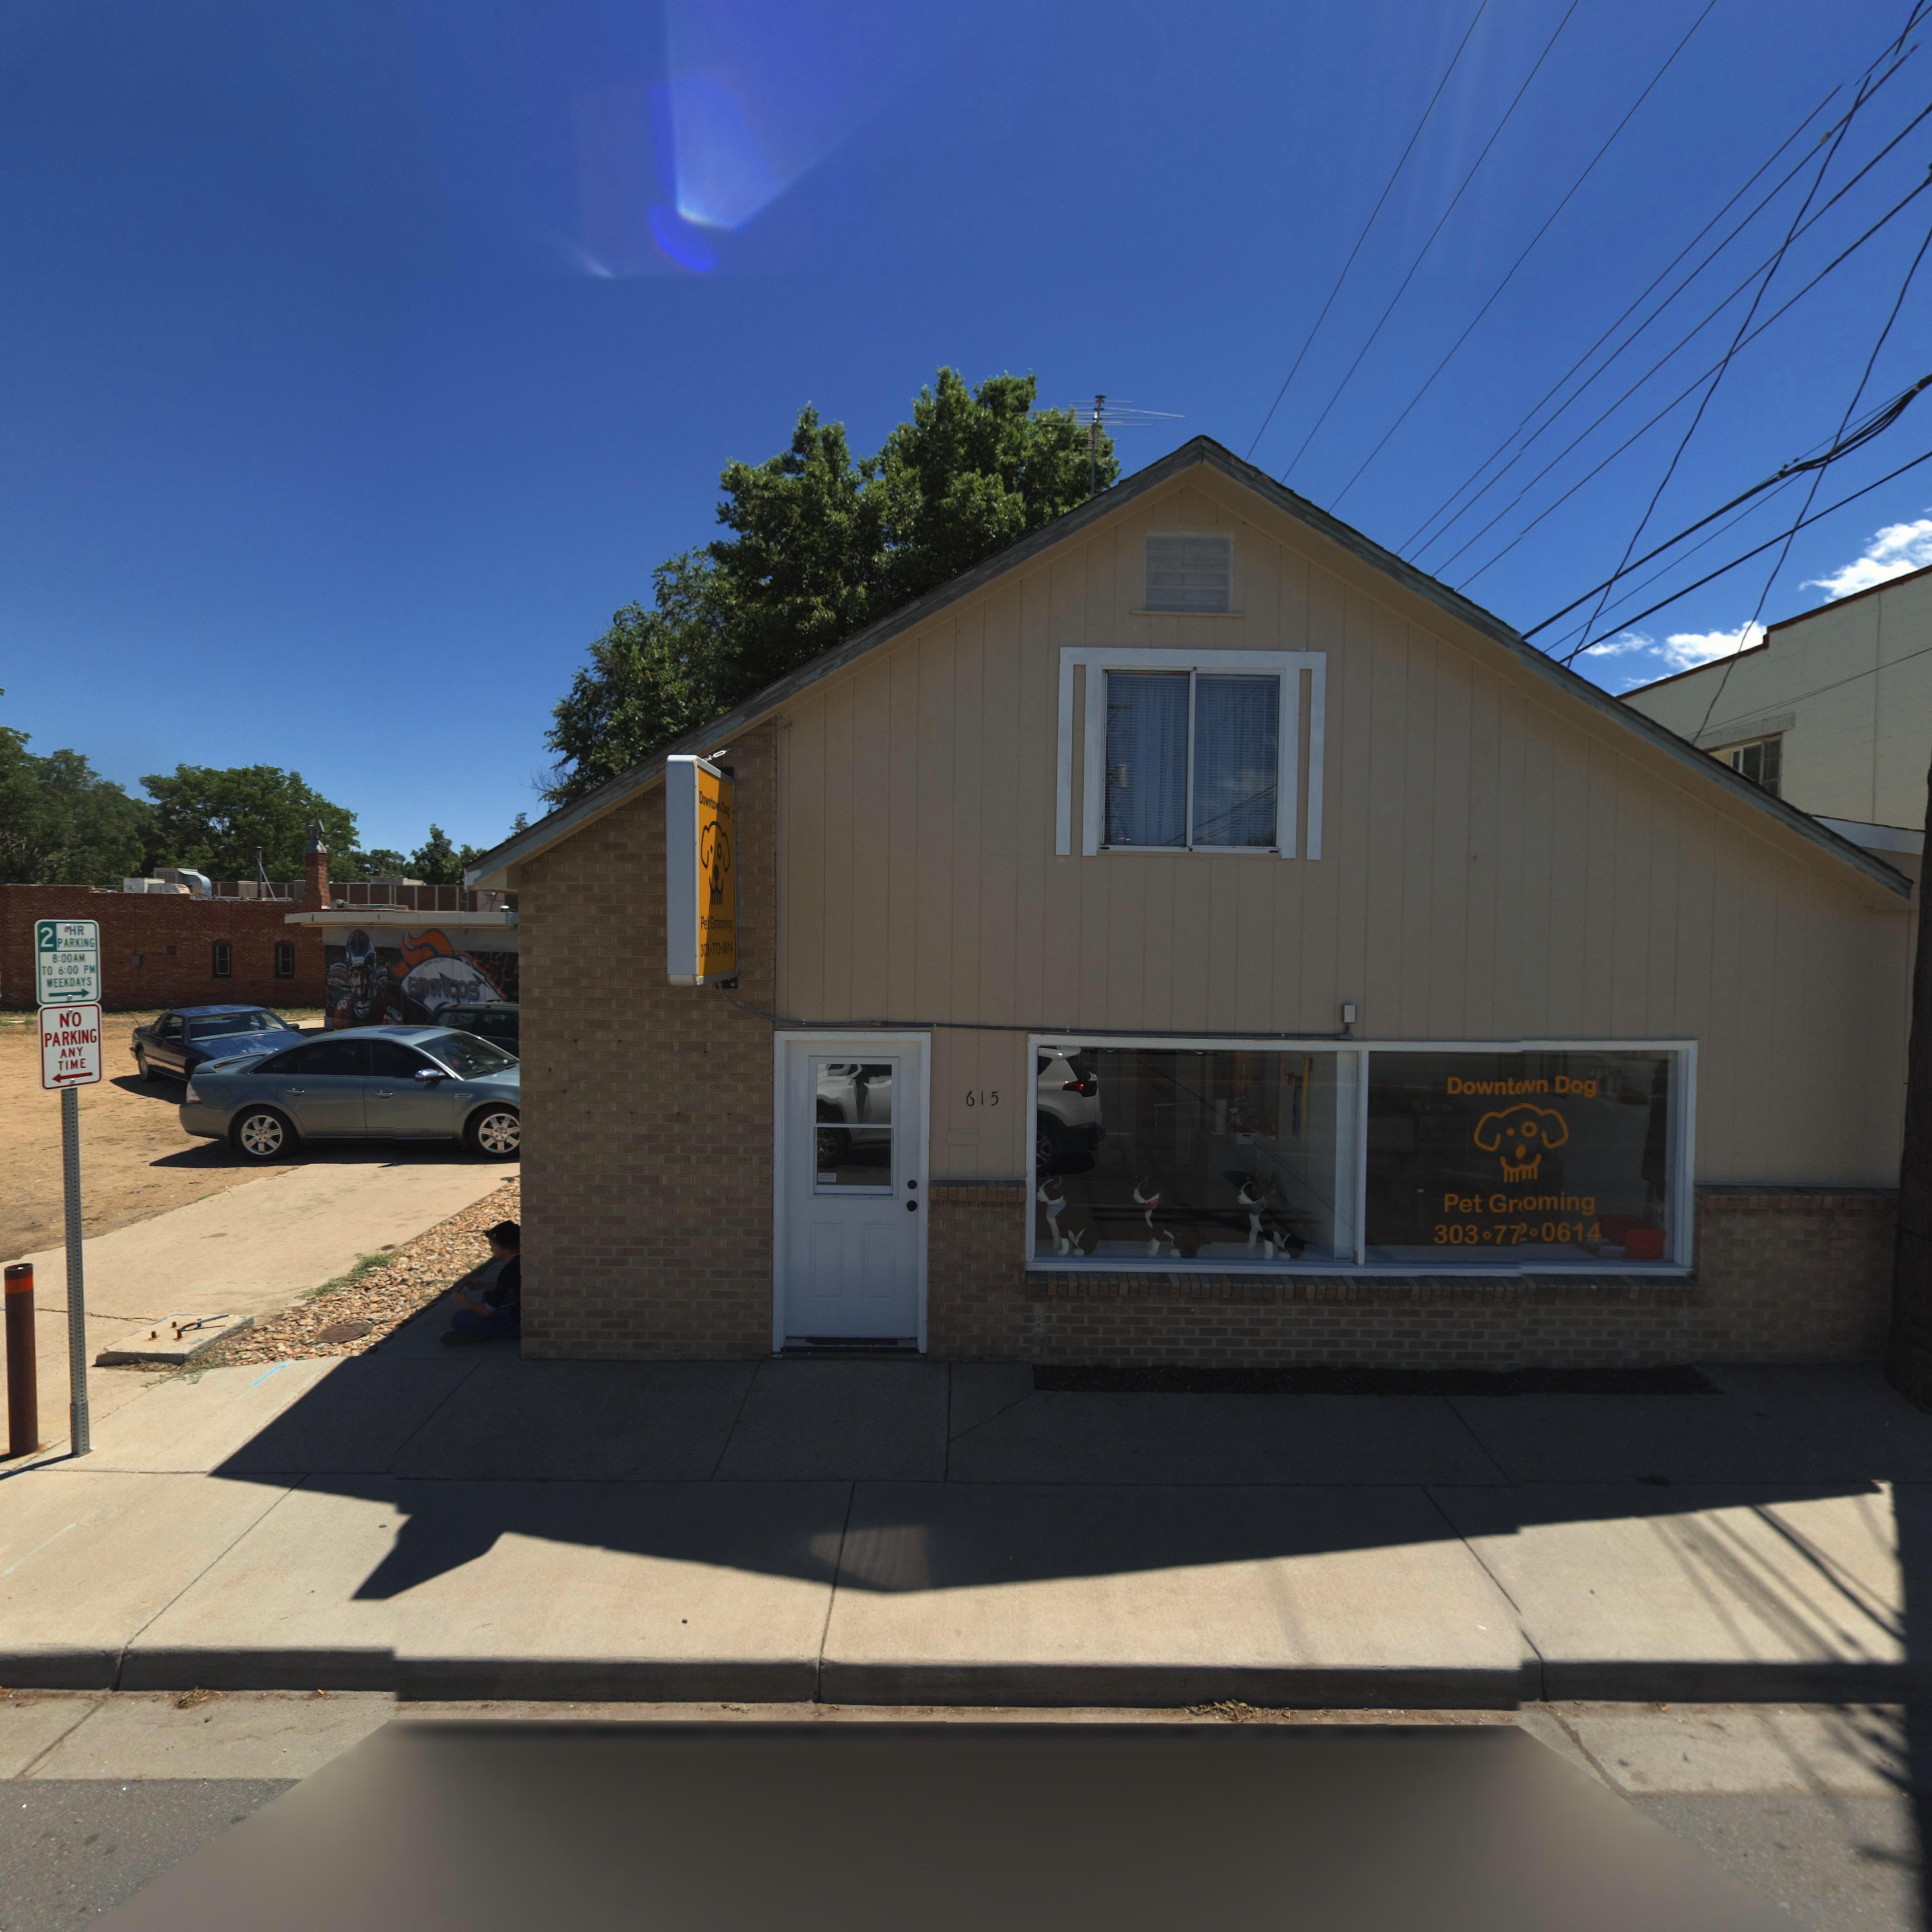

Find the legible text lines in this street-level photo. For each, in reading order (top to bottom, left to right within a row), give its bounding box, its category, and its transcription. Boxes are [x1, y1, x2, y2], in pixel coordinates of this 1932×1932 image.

[698, 789, 730, 819] BusinessName: Downtown Dog
[700, 915, 733, 932] BusinessName: Pet Grooming
[965, 1089, 999, 1107] StreetNumber: 615
[1446, 1075, 1597, 1098] BusinessName: Downt**n Dog
[1443, 1190, 1595, 1217] BusinessName: Pet Gr*oming